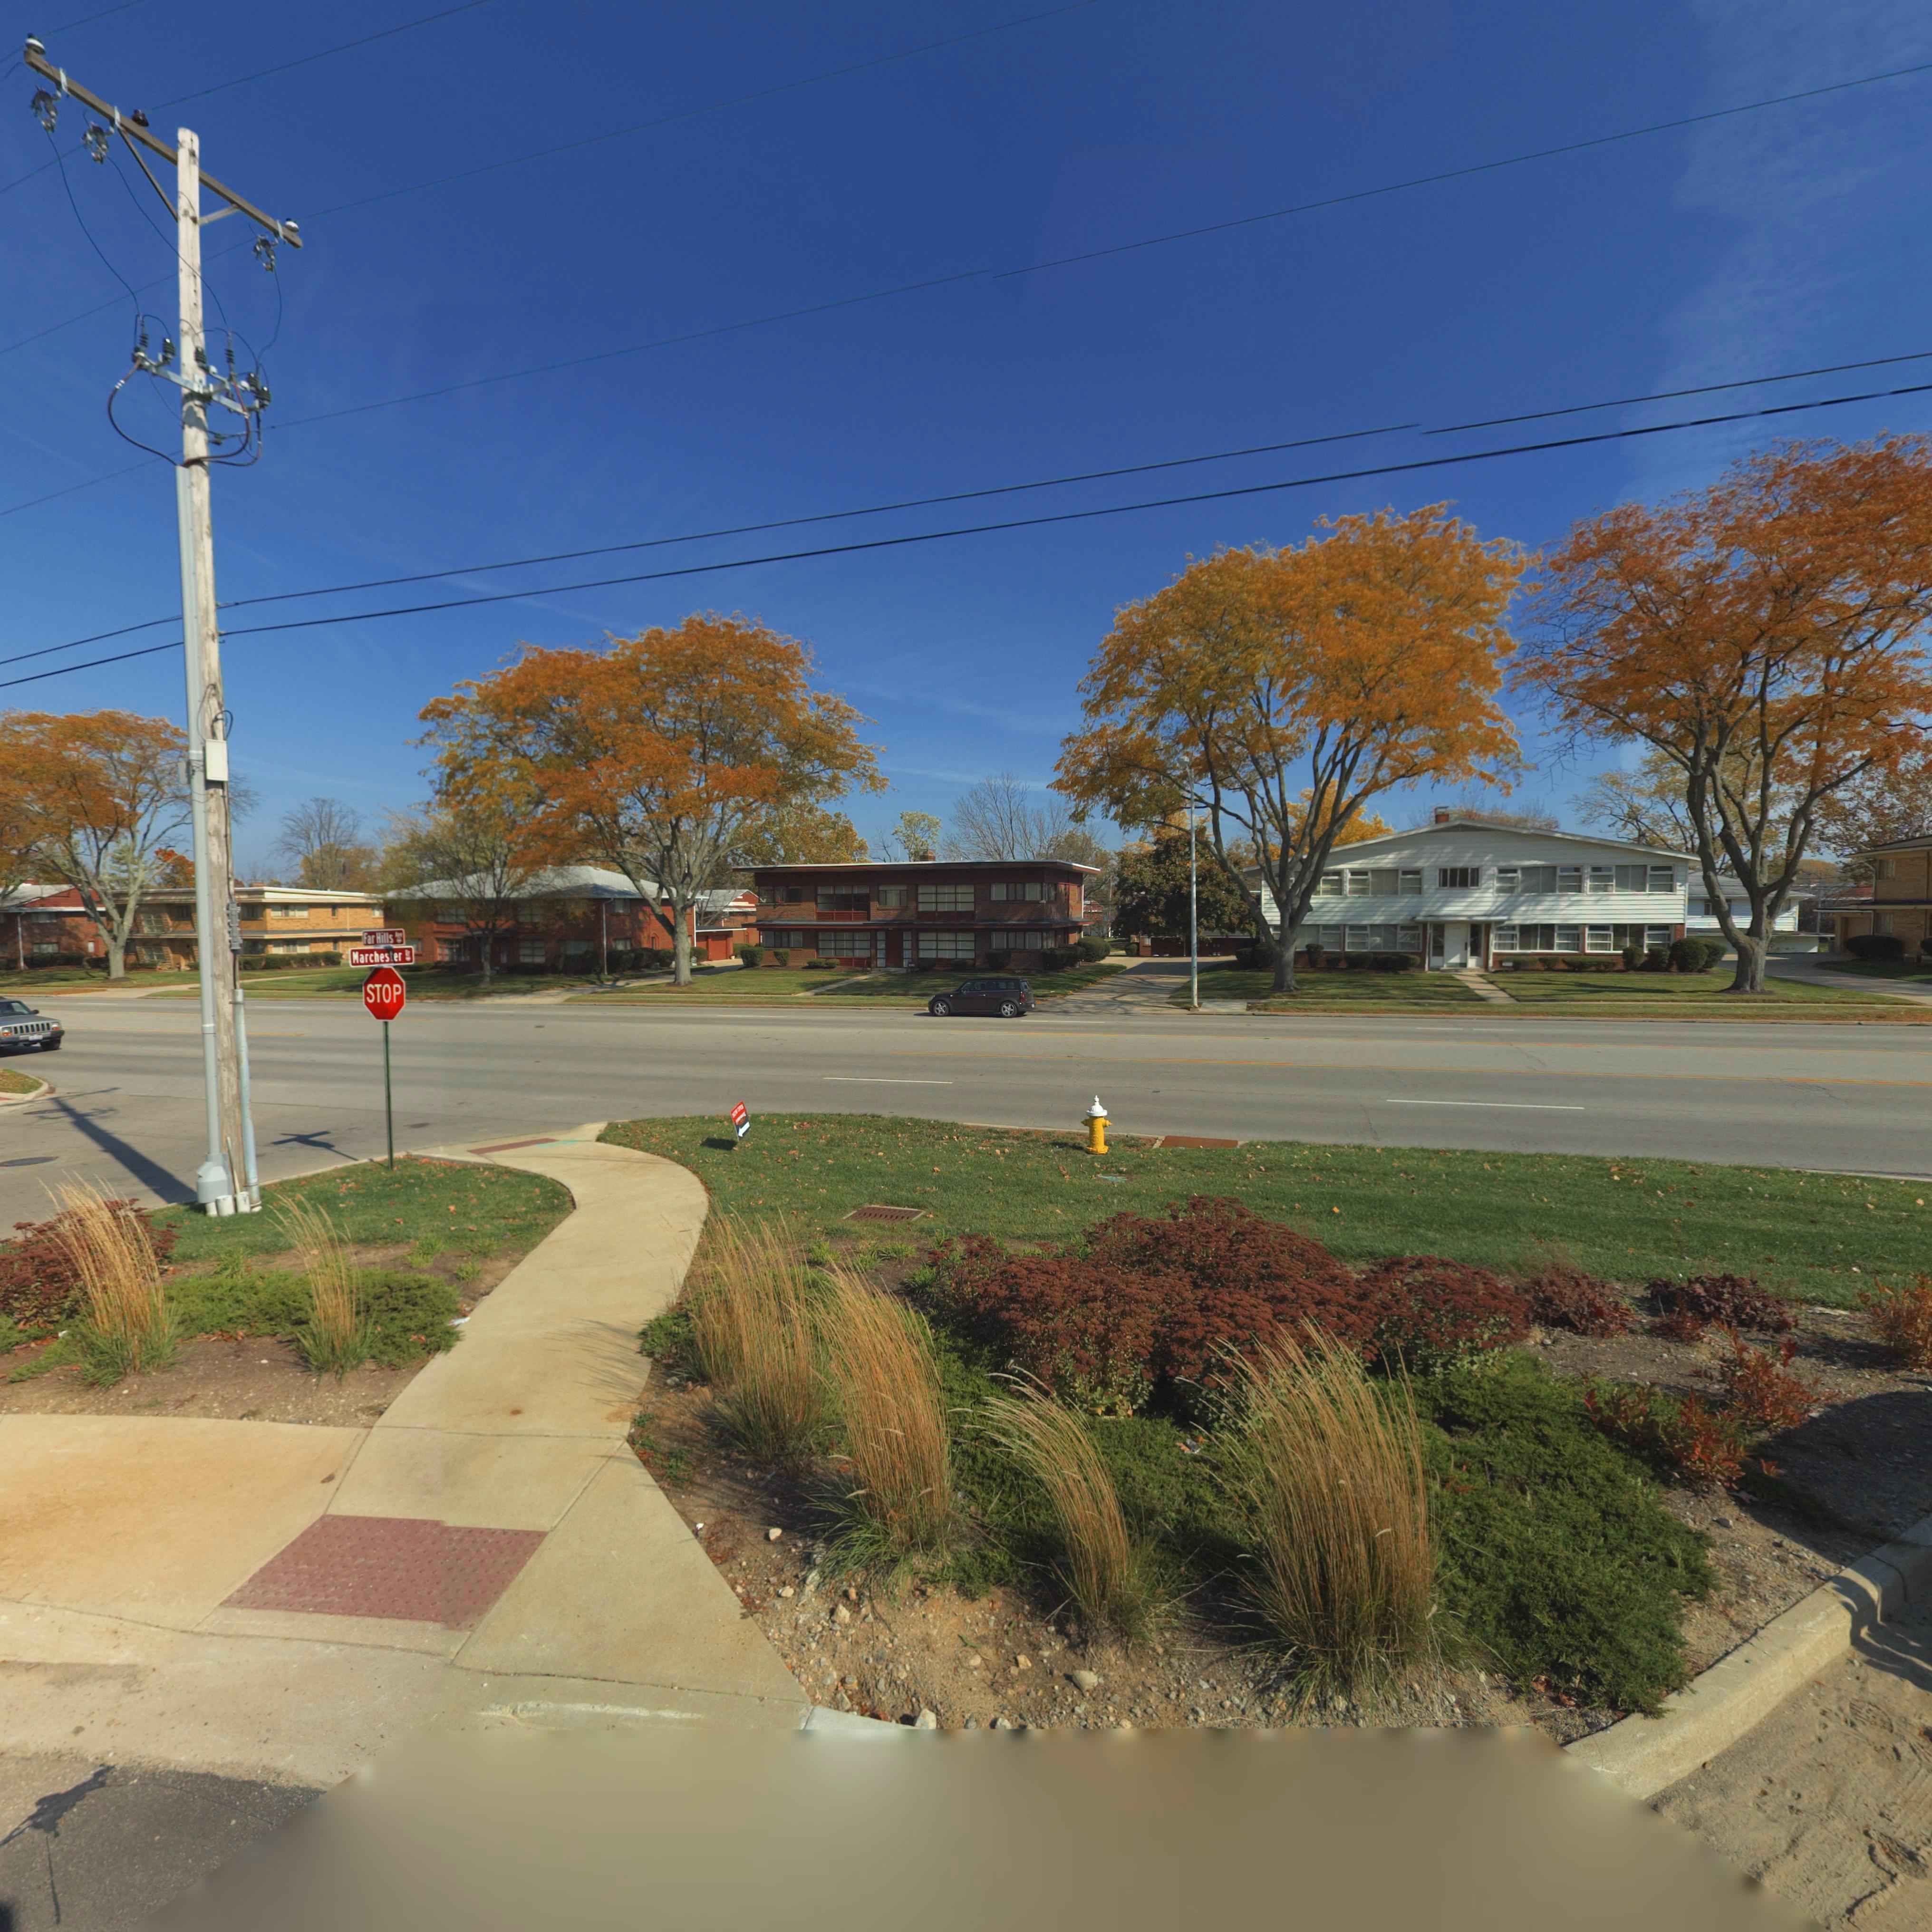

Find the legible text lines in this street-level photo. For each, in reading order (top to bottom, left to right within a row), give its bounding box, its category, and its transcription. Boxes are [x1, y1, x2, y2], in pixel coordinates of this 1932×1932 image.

[362, 930, 396, 946] StreetName: Far Hills
[351, 949, 403, 965] StreetName: Marchester